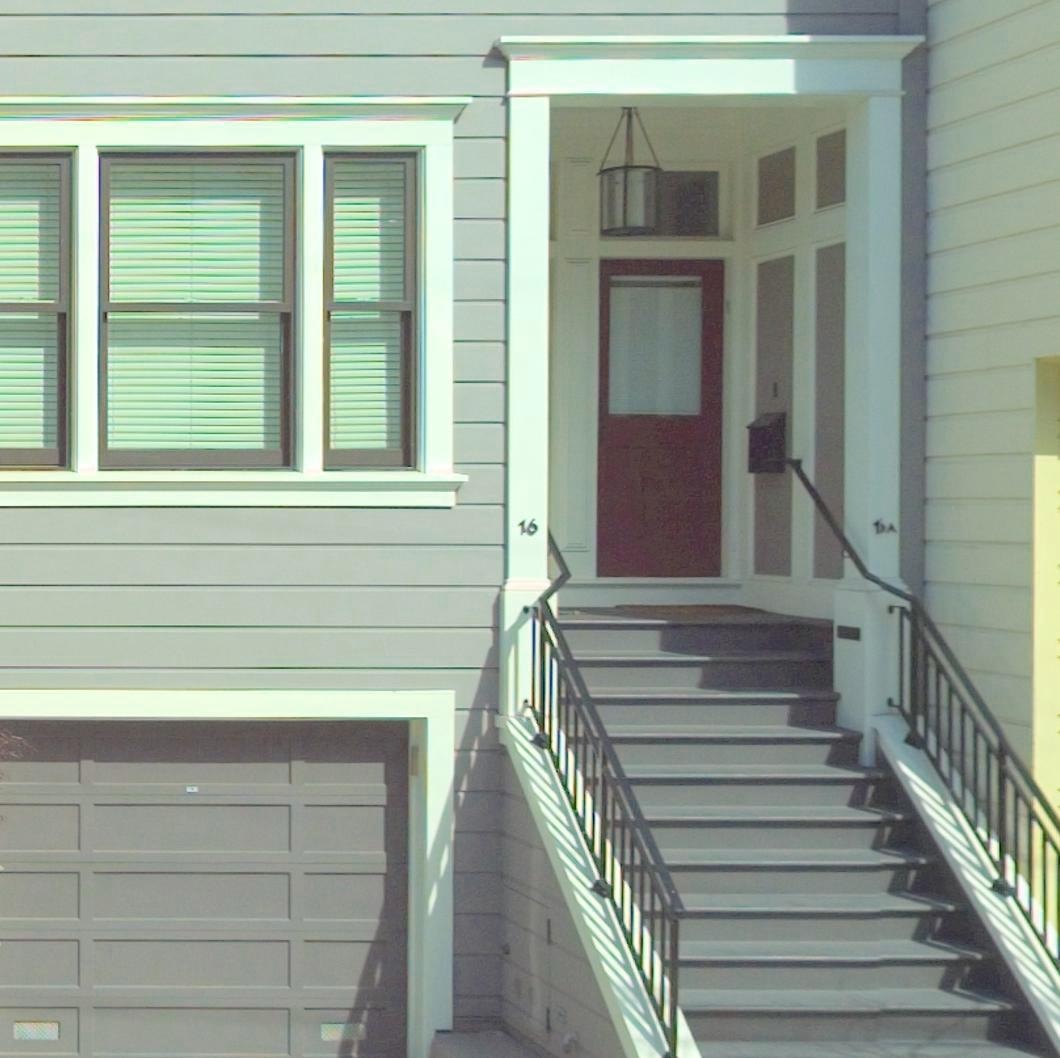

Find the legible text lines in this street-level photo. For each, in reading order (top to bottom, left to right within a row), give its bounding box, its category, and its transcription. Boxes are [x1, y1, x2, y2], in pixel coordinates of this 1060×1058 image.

[516, 517, 540, 538] StreetNumber: 16
[870, 516, 899, 535] StreetNumber: 16A